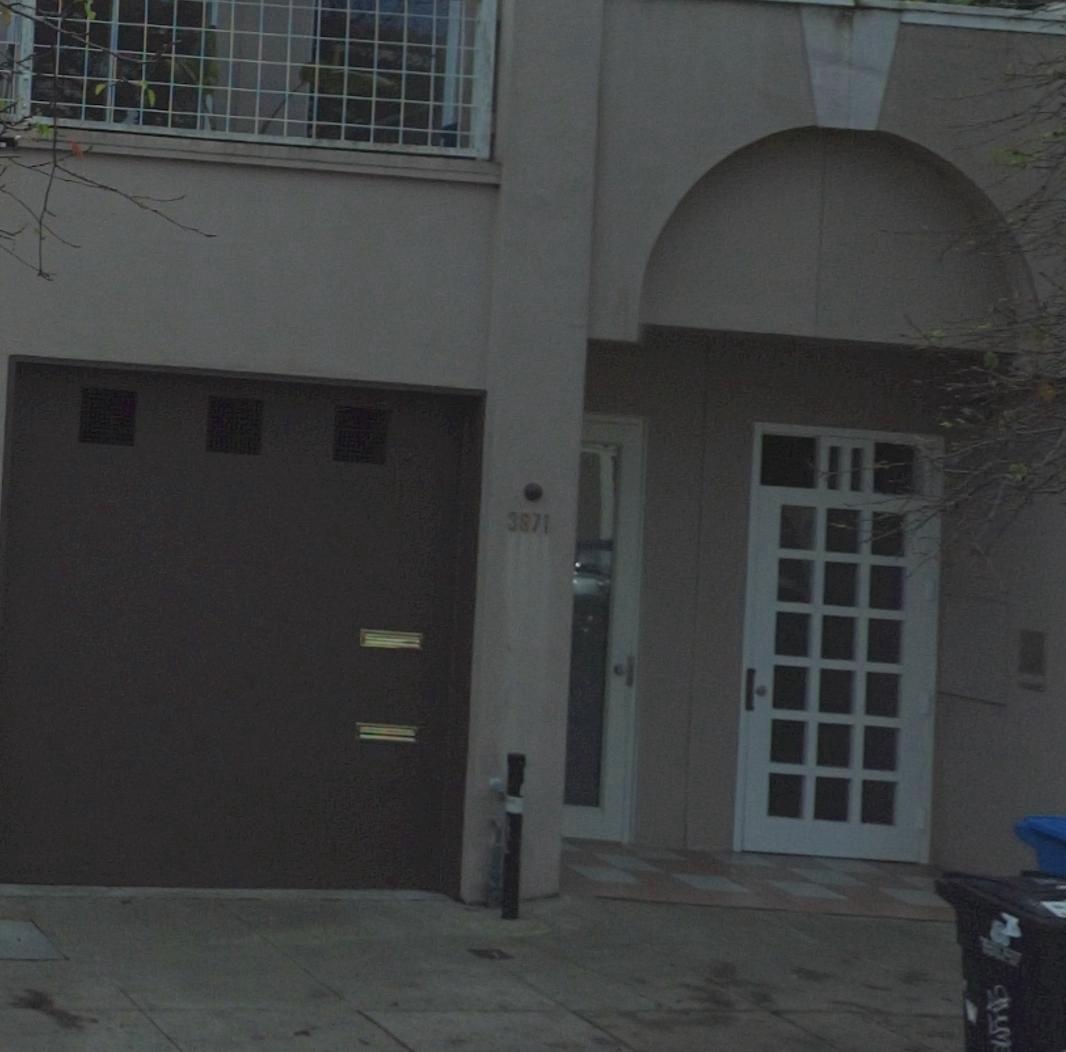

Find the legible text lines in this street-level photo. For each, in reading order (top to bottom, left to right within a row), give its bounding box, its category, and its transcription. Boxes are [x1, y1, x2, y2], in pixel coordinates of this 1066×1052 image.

[506, 511, 550, 536] StreetNumber: 3871